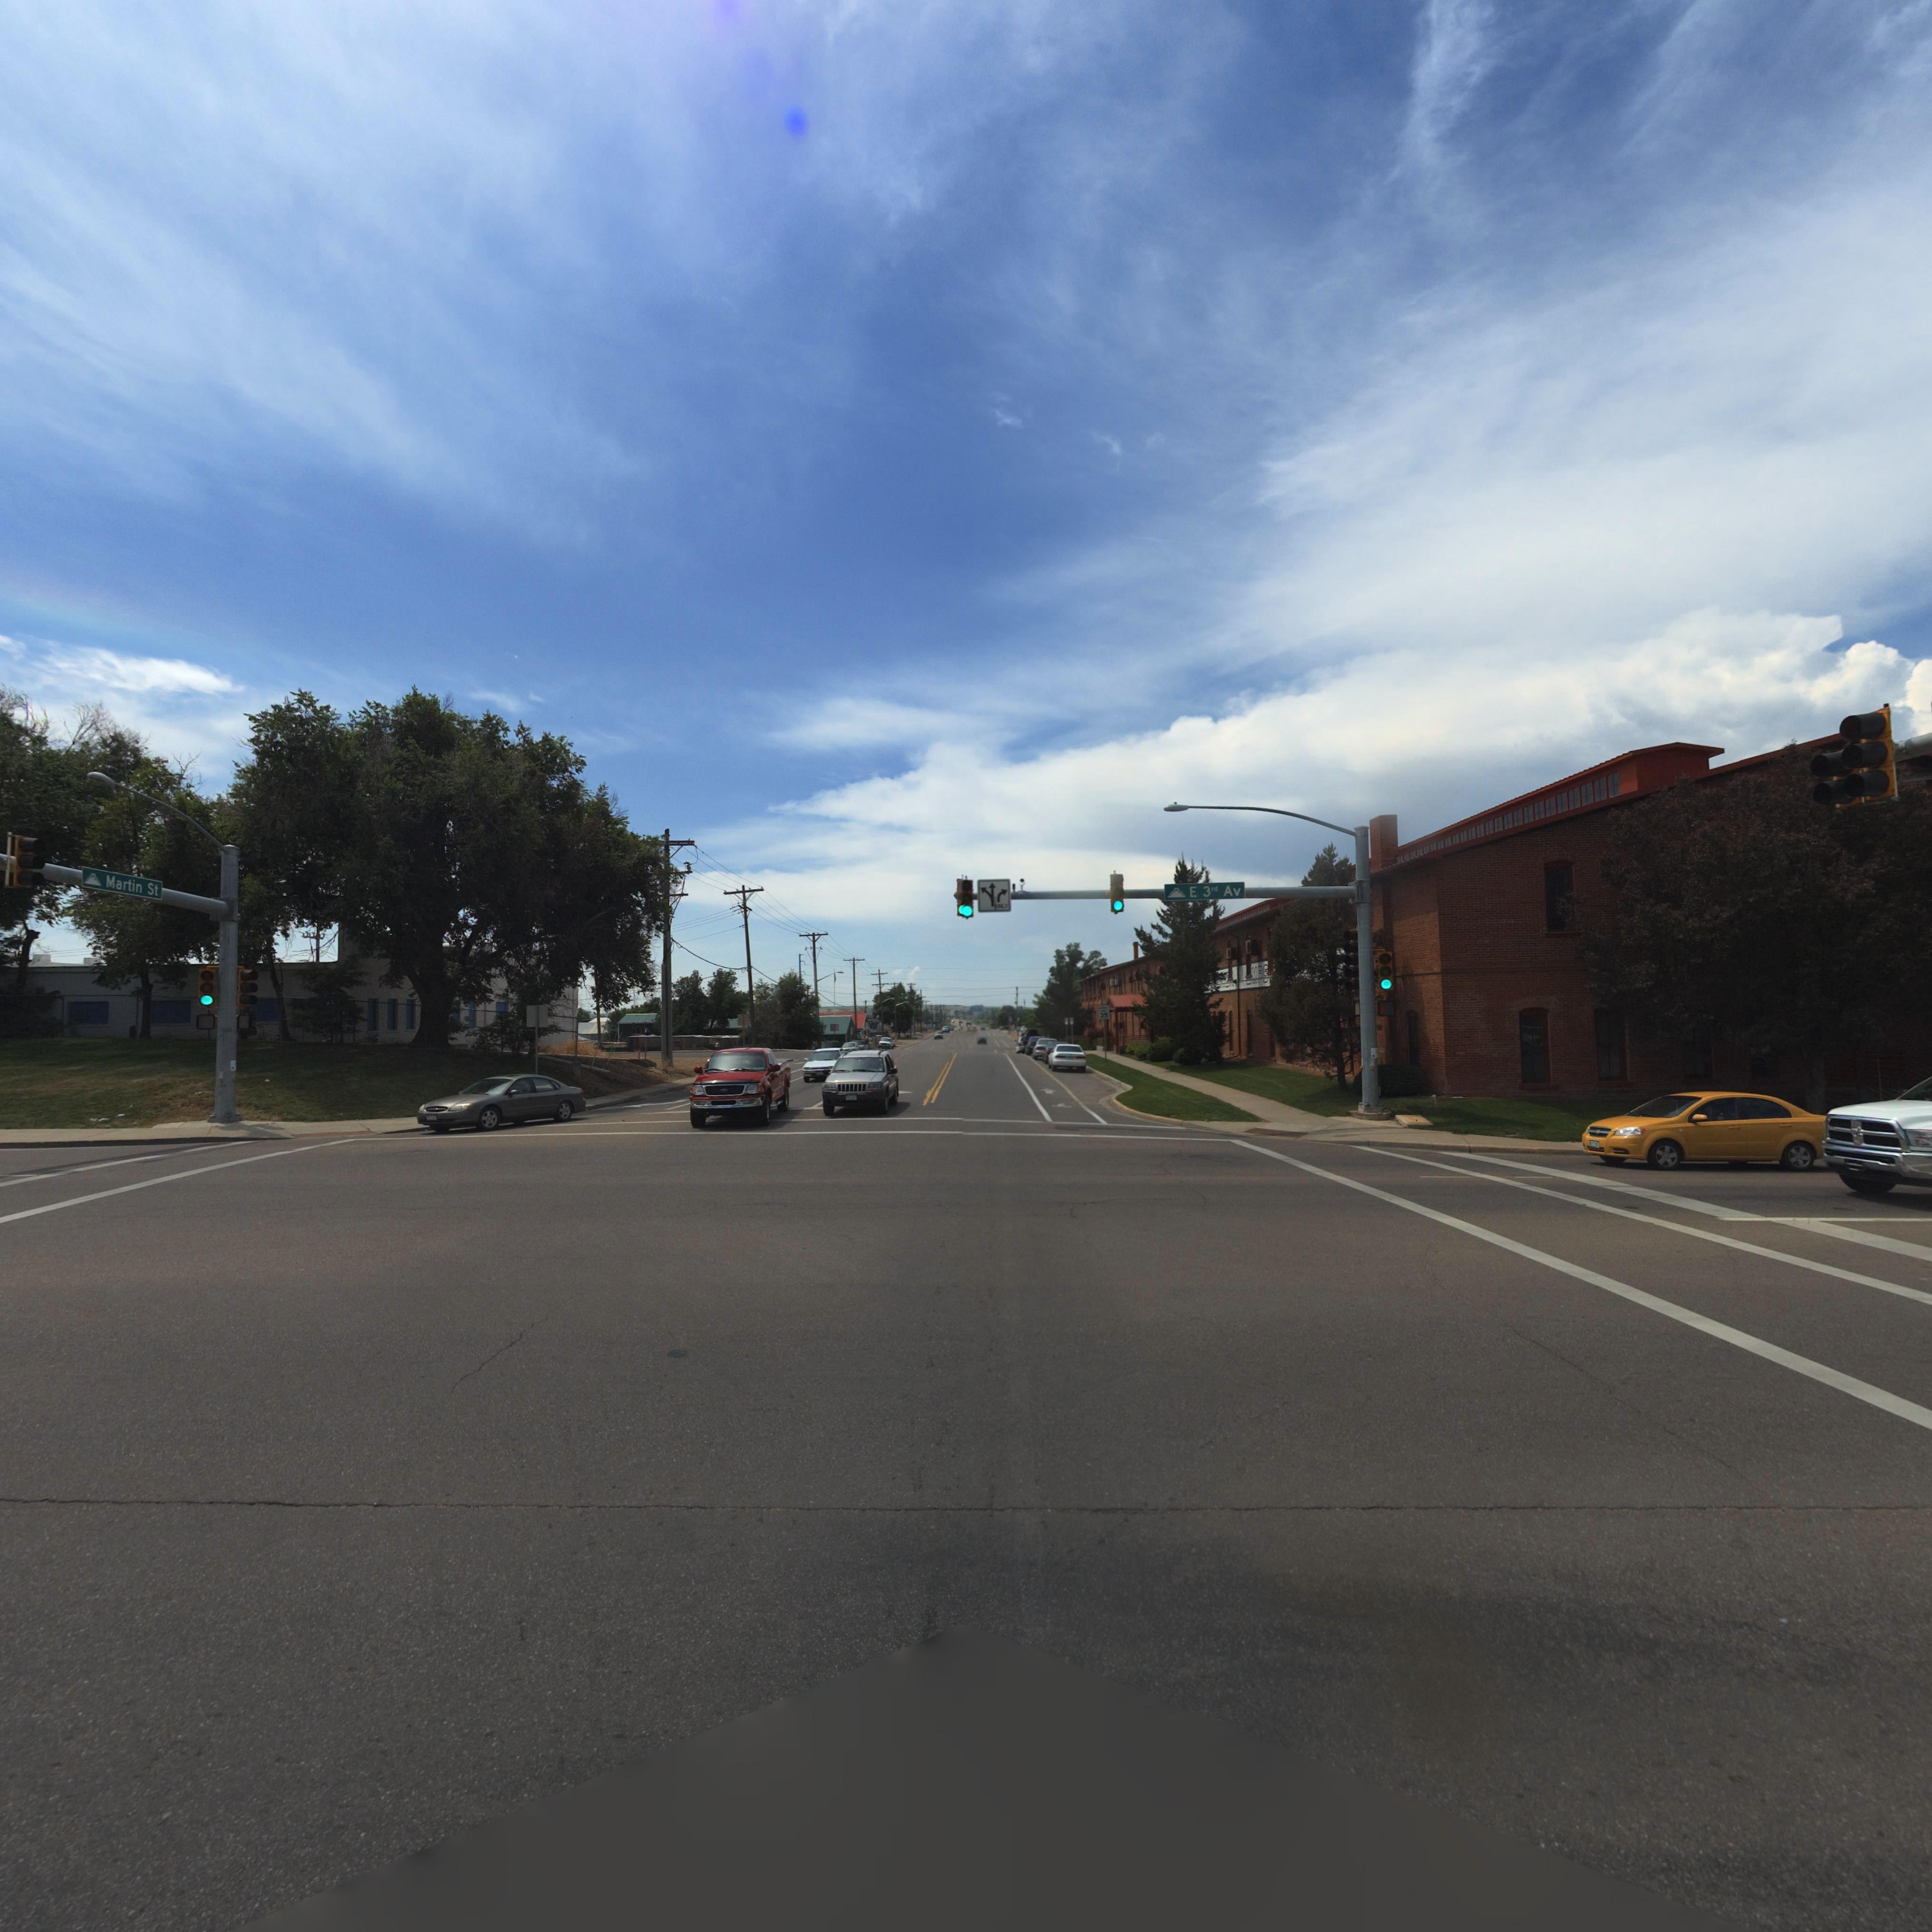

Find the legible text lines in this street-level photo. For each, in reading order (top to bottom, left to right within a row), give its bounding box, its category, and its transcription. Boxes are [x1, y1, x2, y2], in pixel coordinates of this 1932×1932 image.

[106, 874, 158, 896] StreetName: Martin St
[1186, 883, 1242, 899] StreetName: E 3rd Av